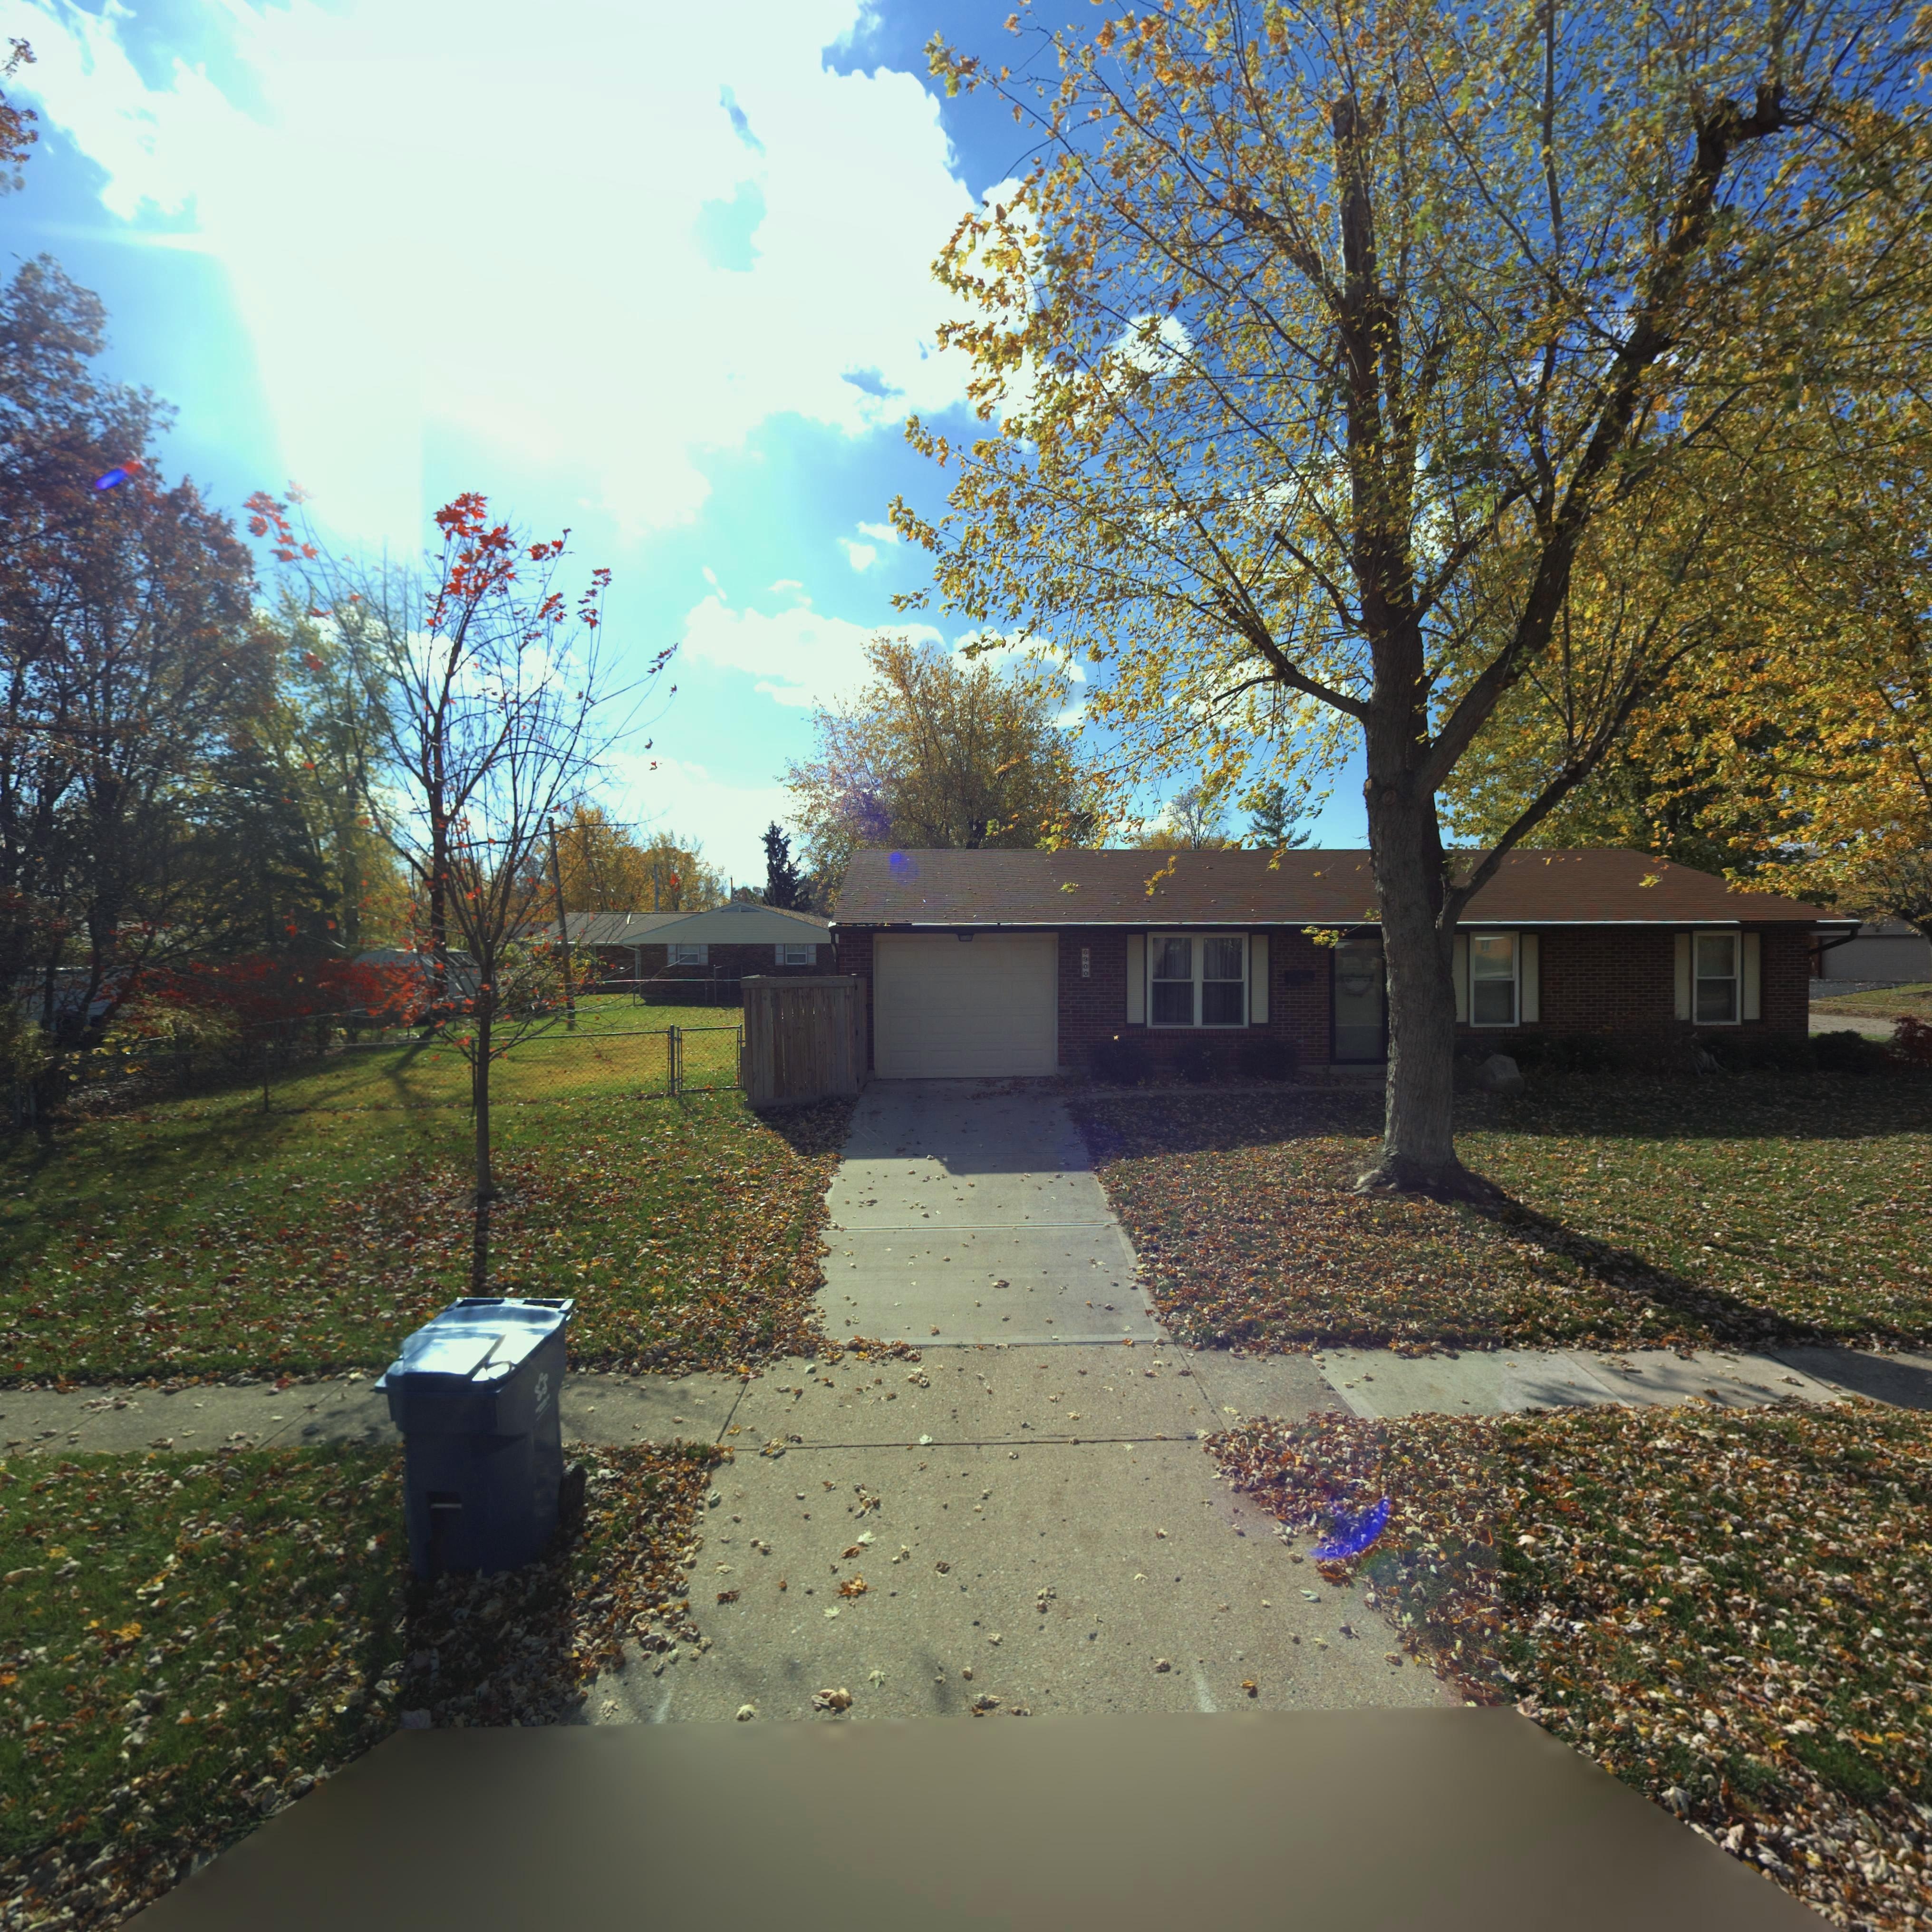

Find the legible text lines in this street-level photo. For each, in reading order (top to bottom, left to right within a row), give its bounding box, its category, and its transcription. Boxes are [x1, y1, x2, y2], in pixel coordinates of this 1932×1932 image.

[1082, 948, 1089, 977] StreetNumber: 6900